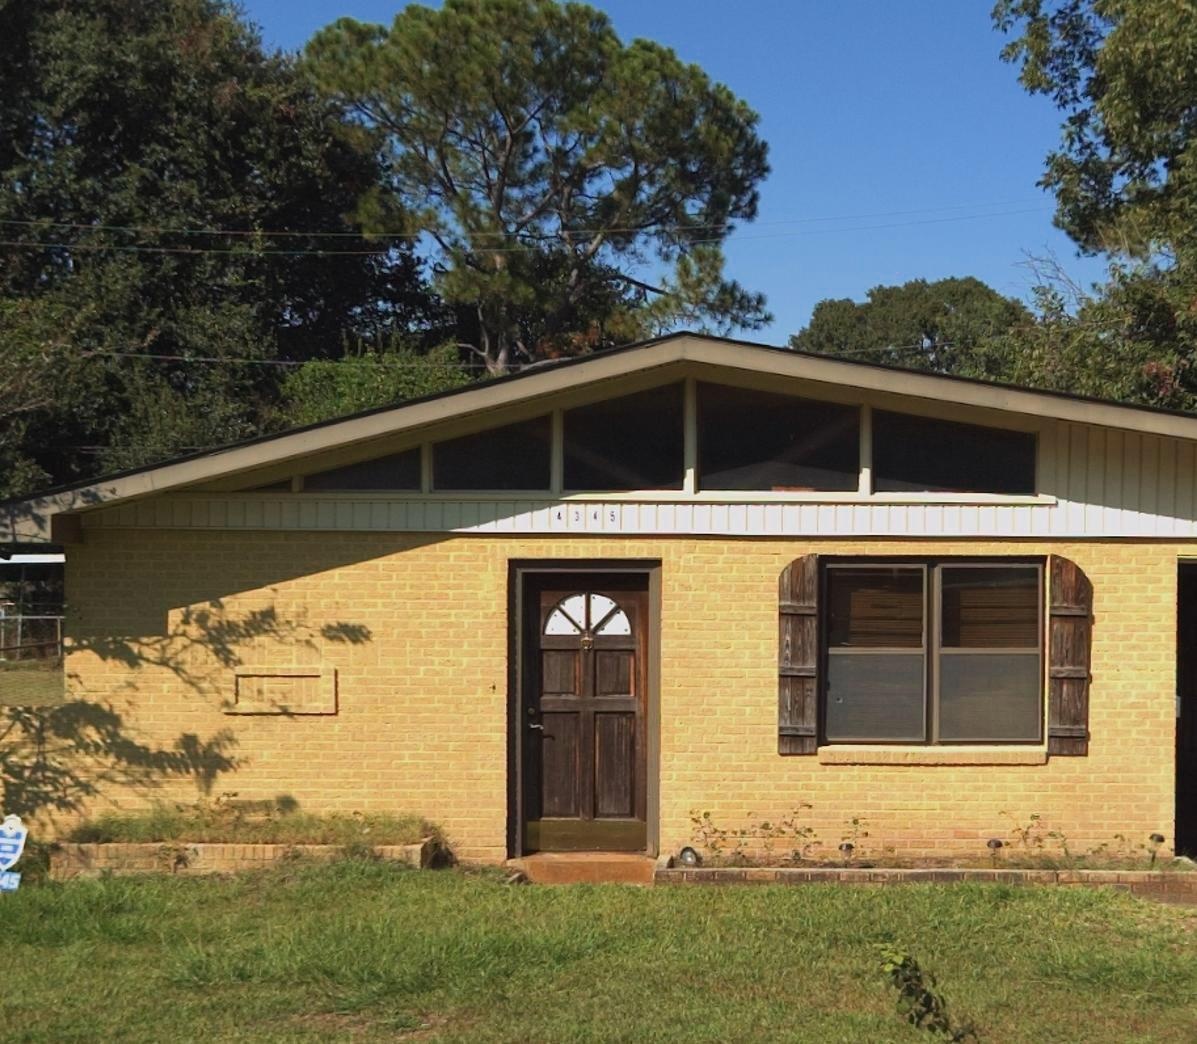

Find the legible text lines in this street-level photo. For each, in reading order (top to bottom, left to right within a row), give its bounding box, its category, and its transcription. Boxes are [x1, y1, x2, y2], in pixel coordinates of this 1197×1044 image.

[555, 510, 616, 523] StreetNumber: 4345
[0, 873, 22, 890] StreetNumber: 45